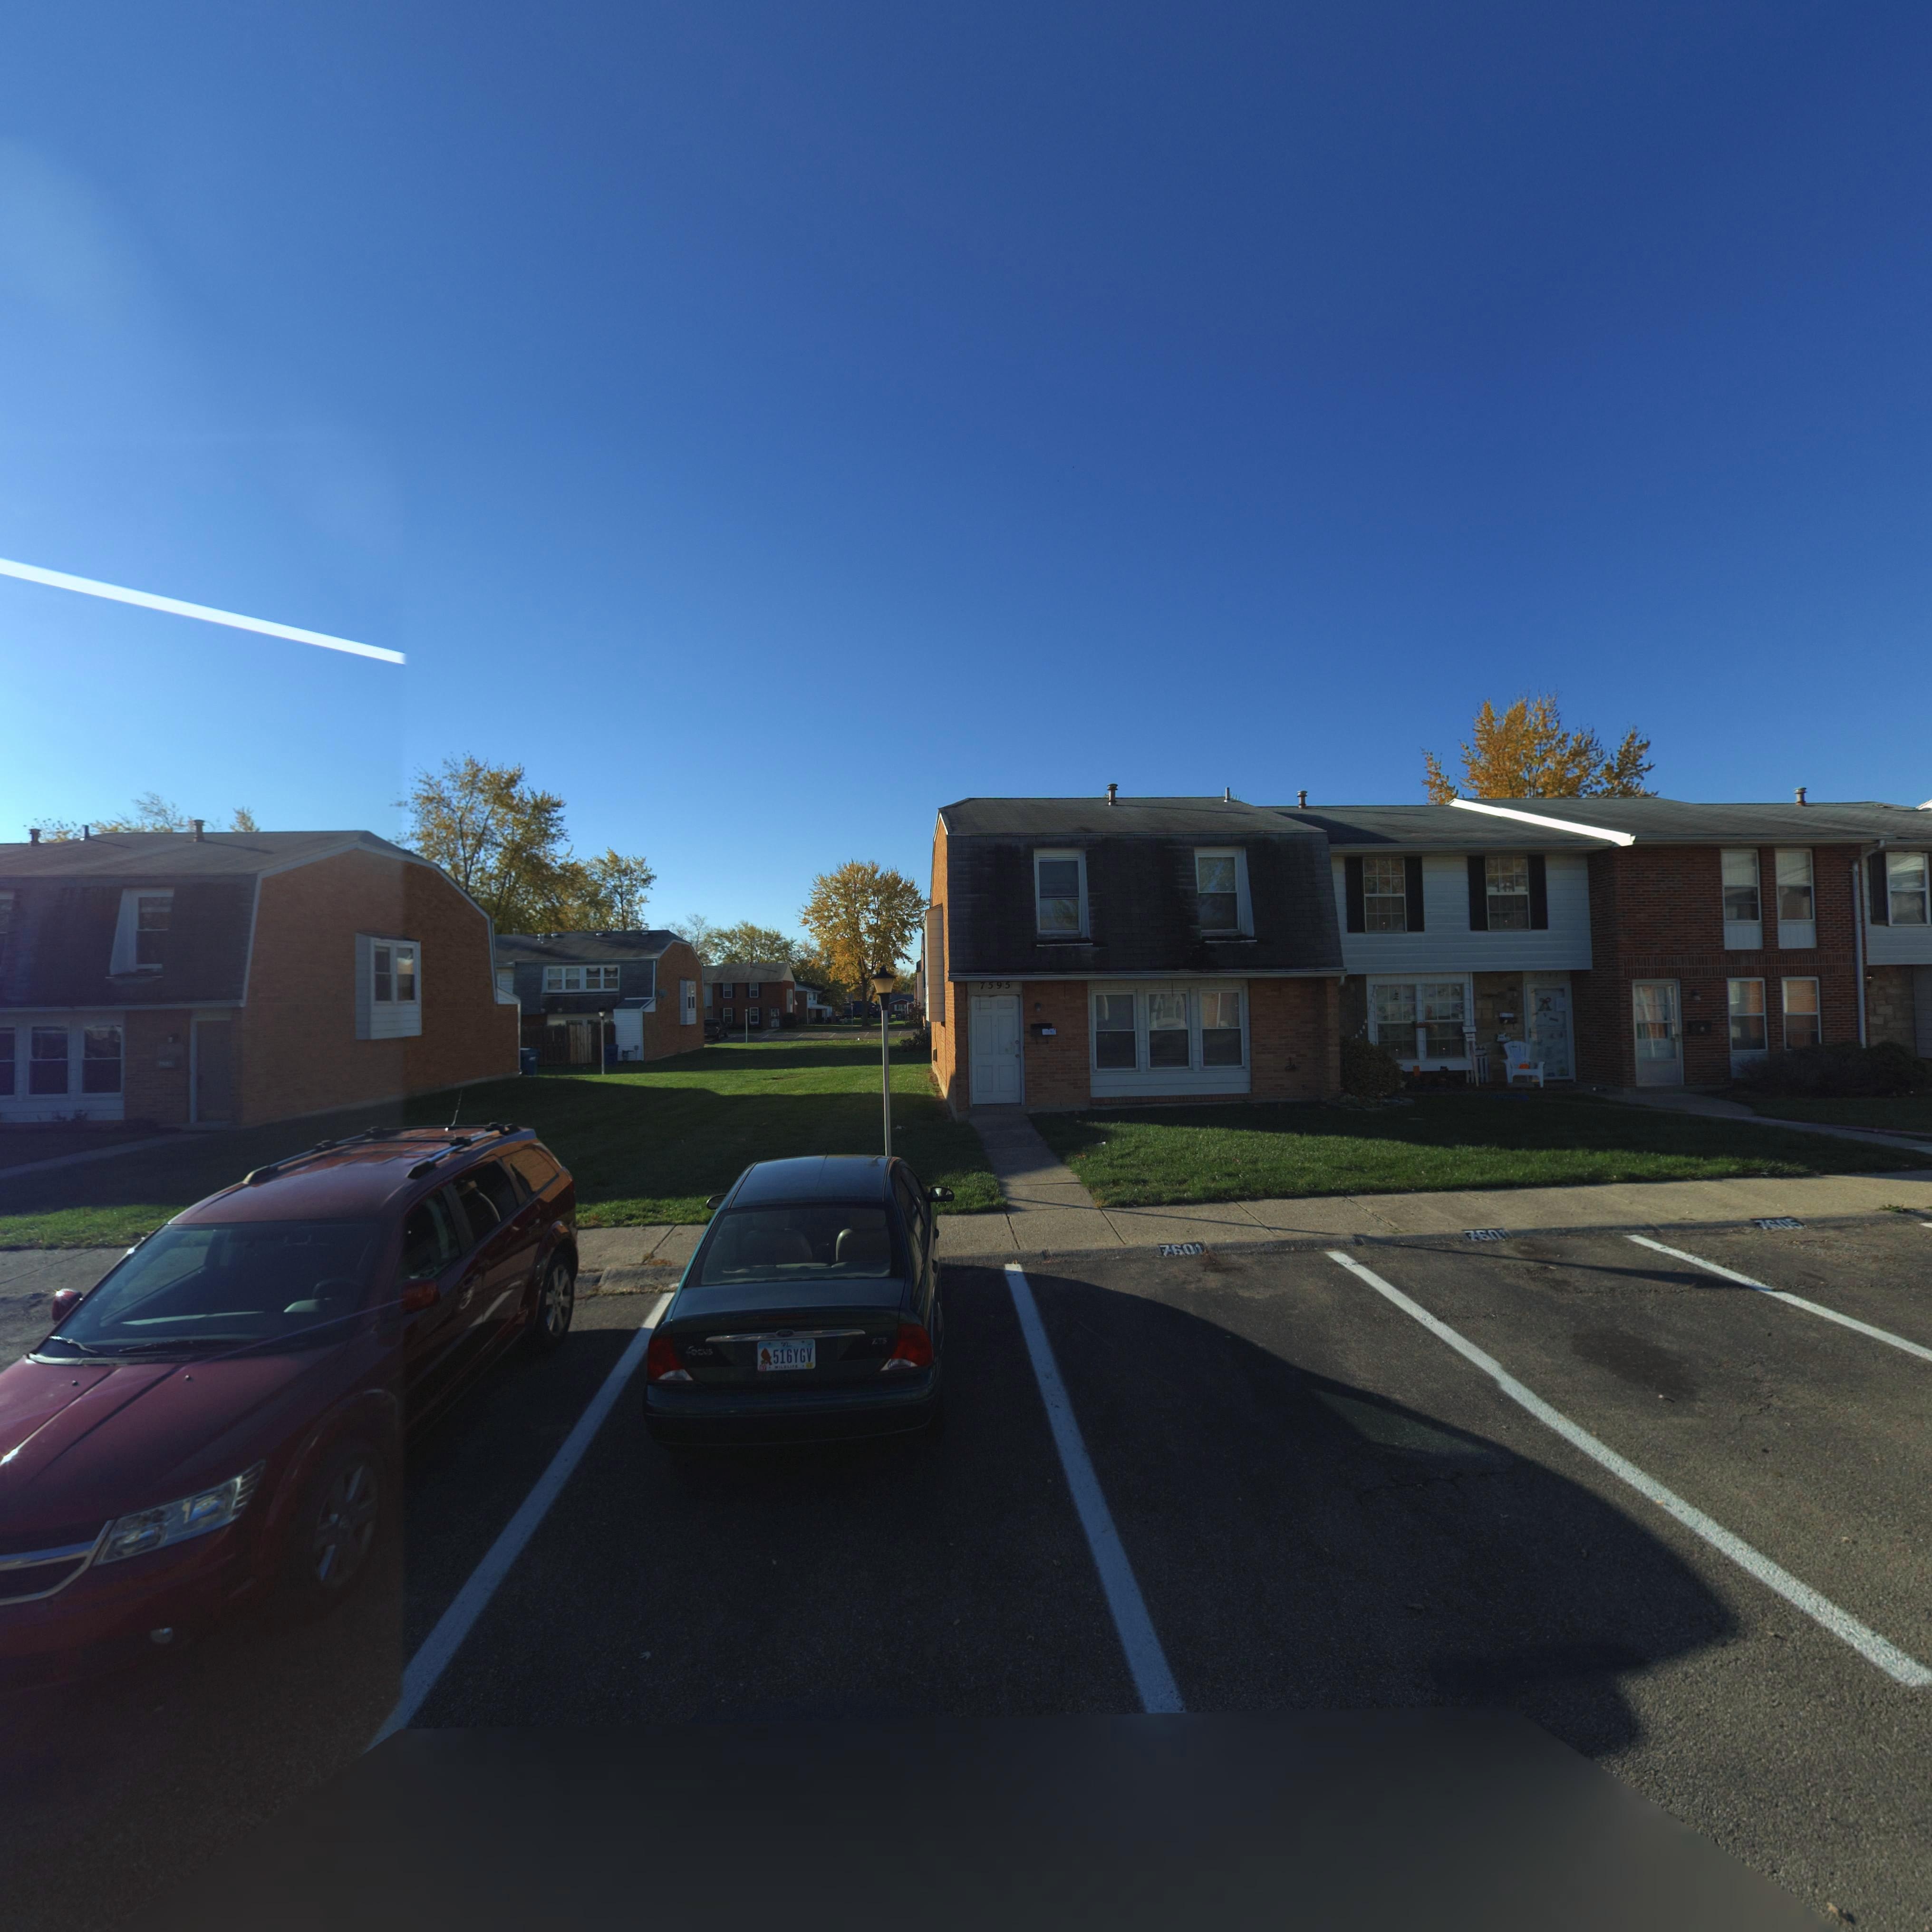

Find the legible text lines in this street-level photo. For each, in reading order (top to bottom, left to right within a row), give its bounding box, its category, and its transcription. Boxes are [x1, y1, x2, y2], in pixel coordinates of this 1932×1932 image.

[1532, 972, 1560, 979] StreetNumber: 75**
[980, 981, 1011, 990] StreetNumber: 7595
[1644, 1040, 1661, 1048] StreetNumber: 7599
[1752, 1218, 1805, 1230] StreetNumber: 7605
[1463, 1228, 1511, 1241] StreetNumber: 760*
[1159, 1243, 1205, 1256] StreetNumber: 7601